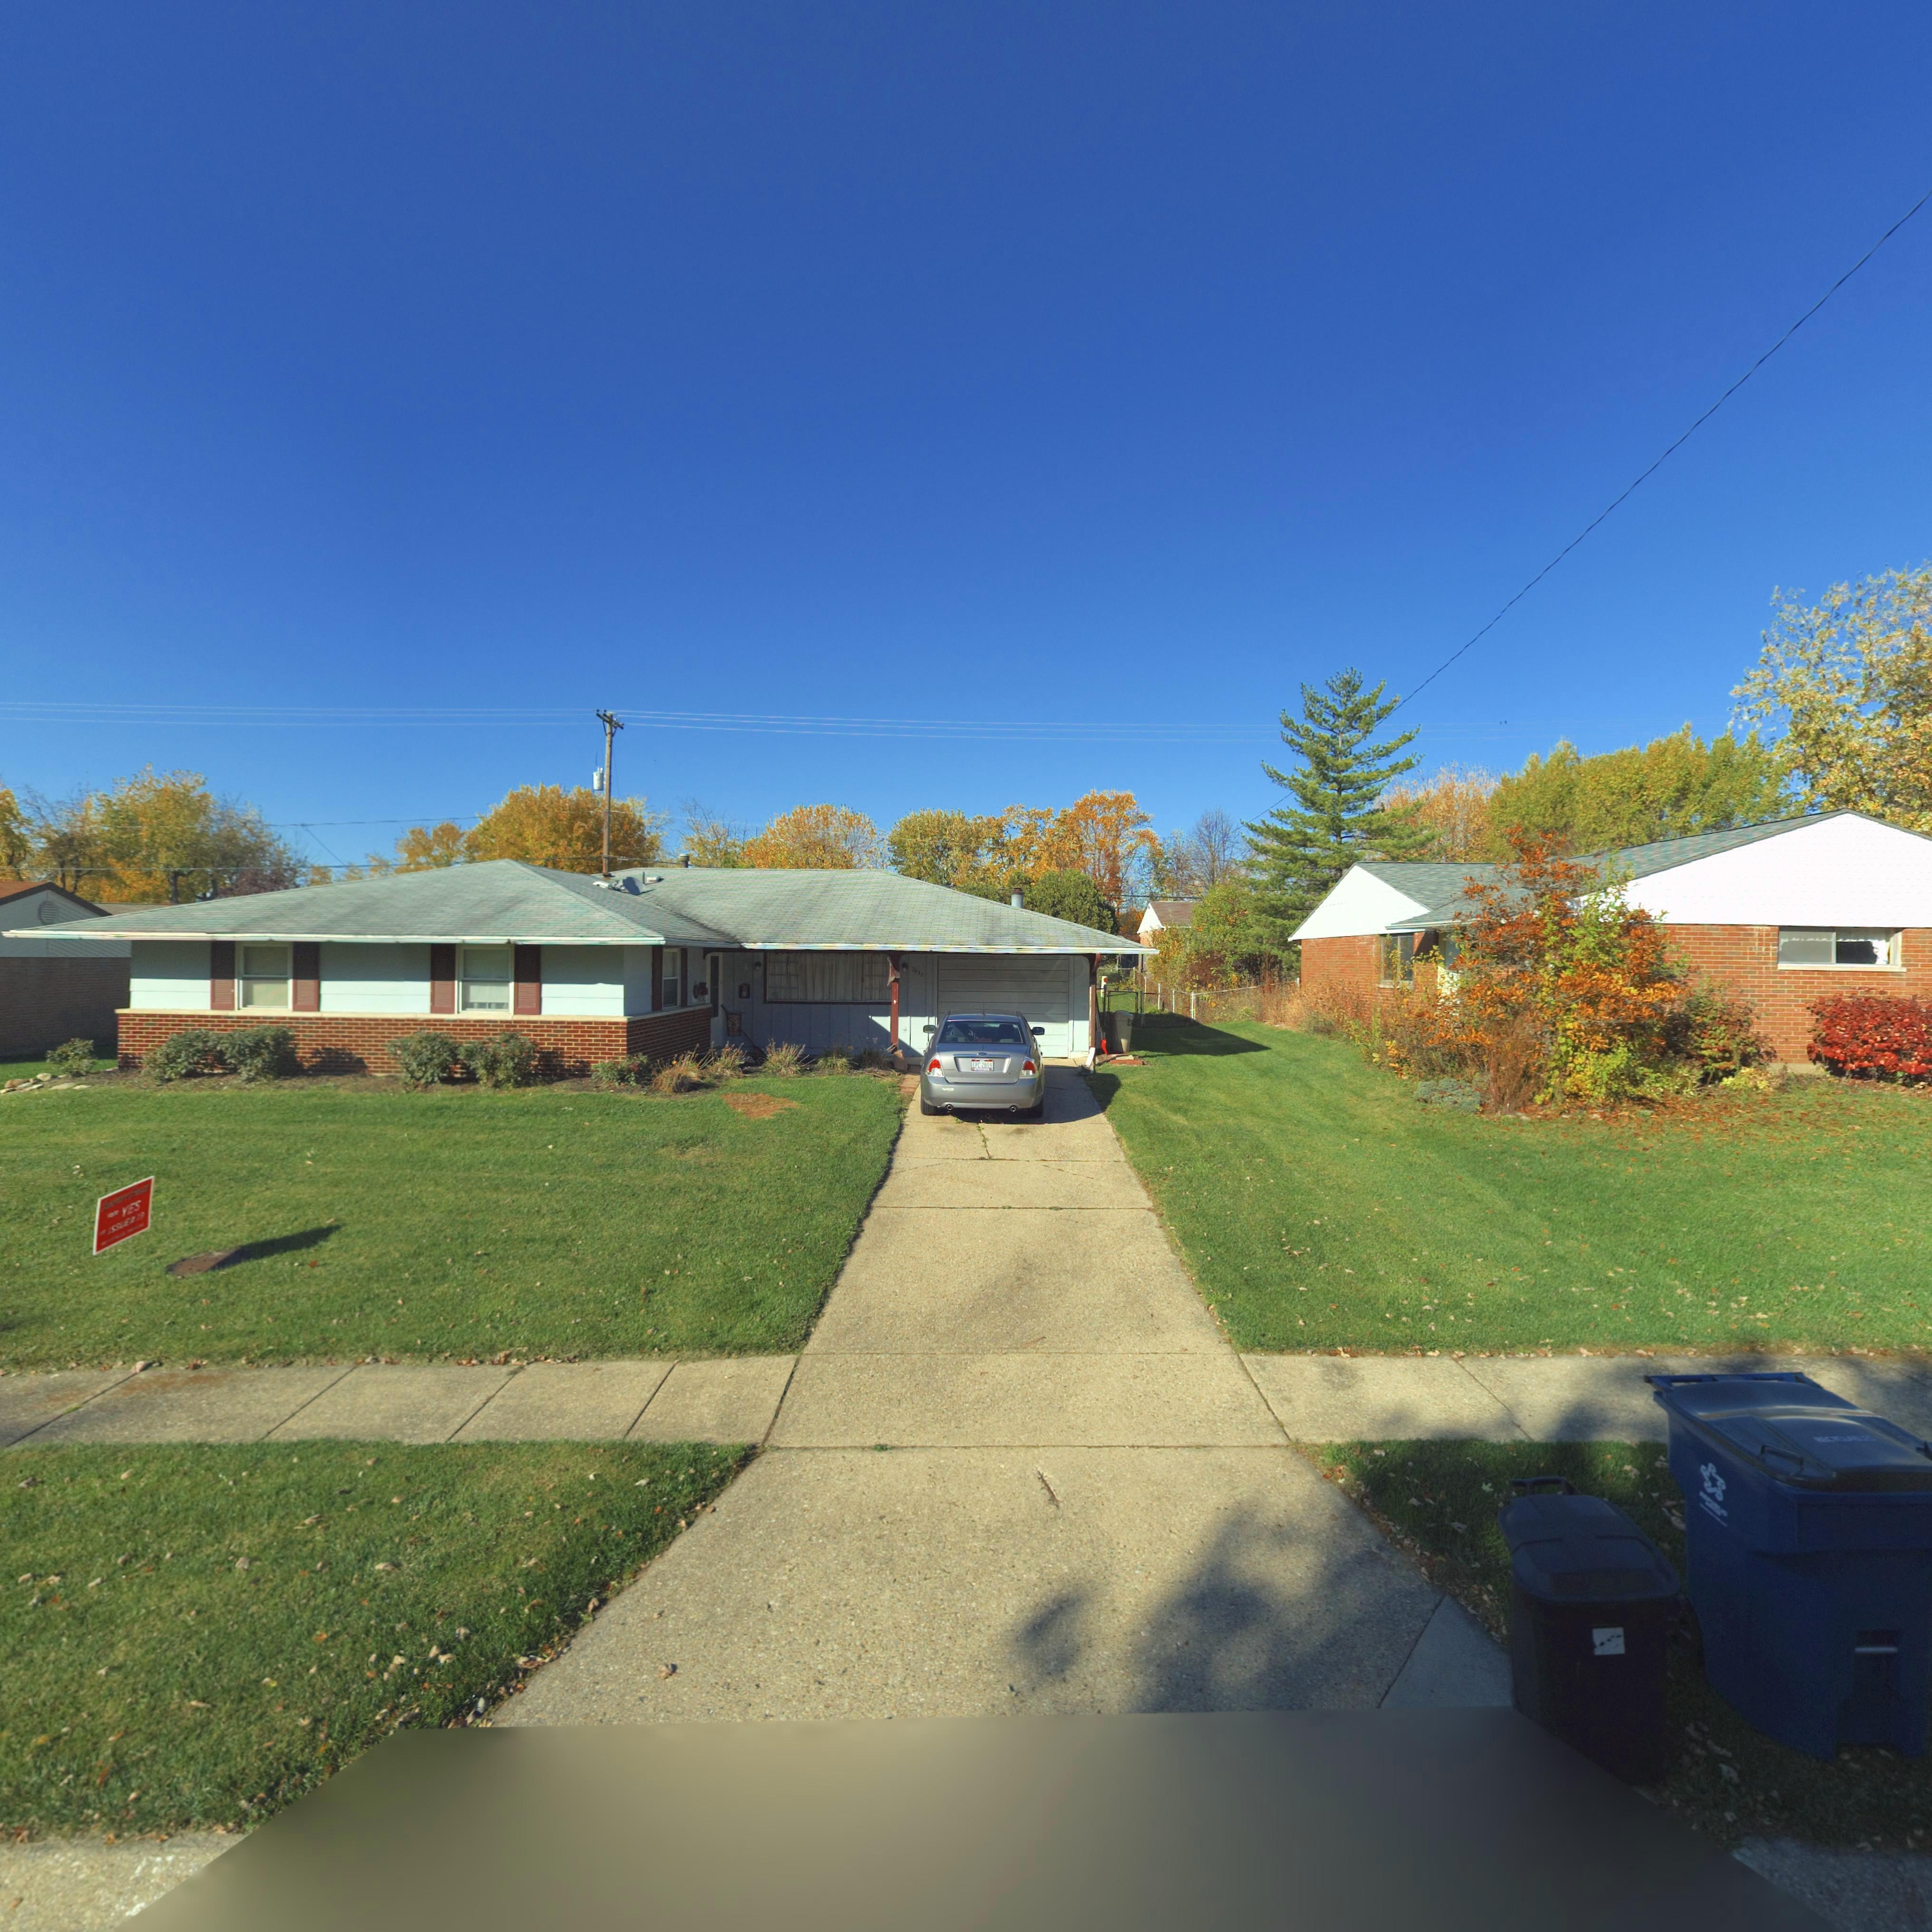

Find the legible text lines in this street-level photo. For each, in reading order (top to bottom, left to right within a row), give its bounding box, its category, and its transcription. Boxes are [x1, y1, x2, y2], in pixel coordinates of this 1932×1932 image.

[911, 966, 925, 978] StreetNumber: 76*7